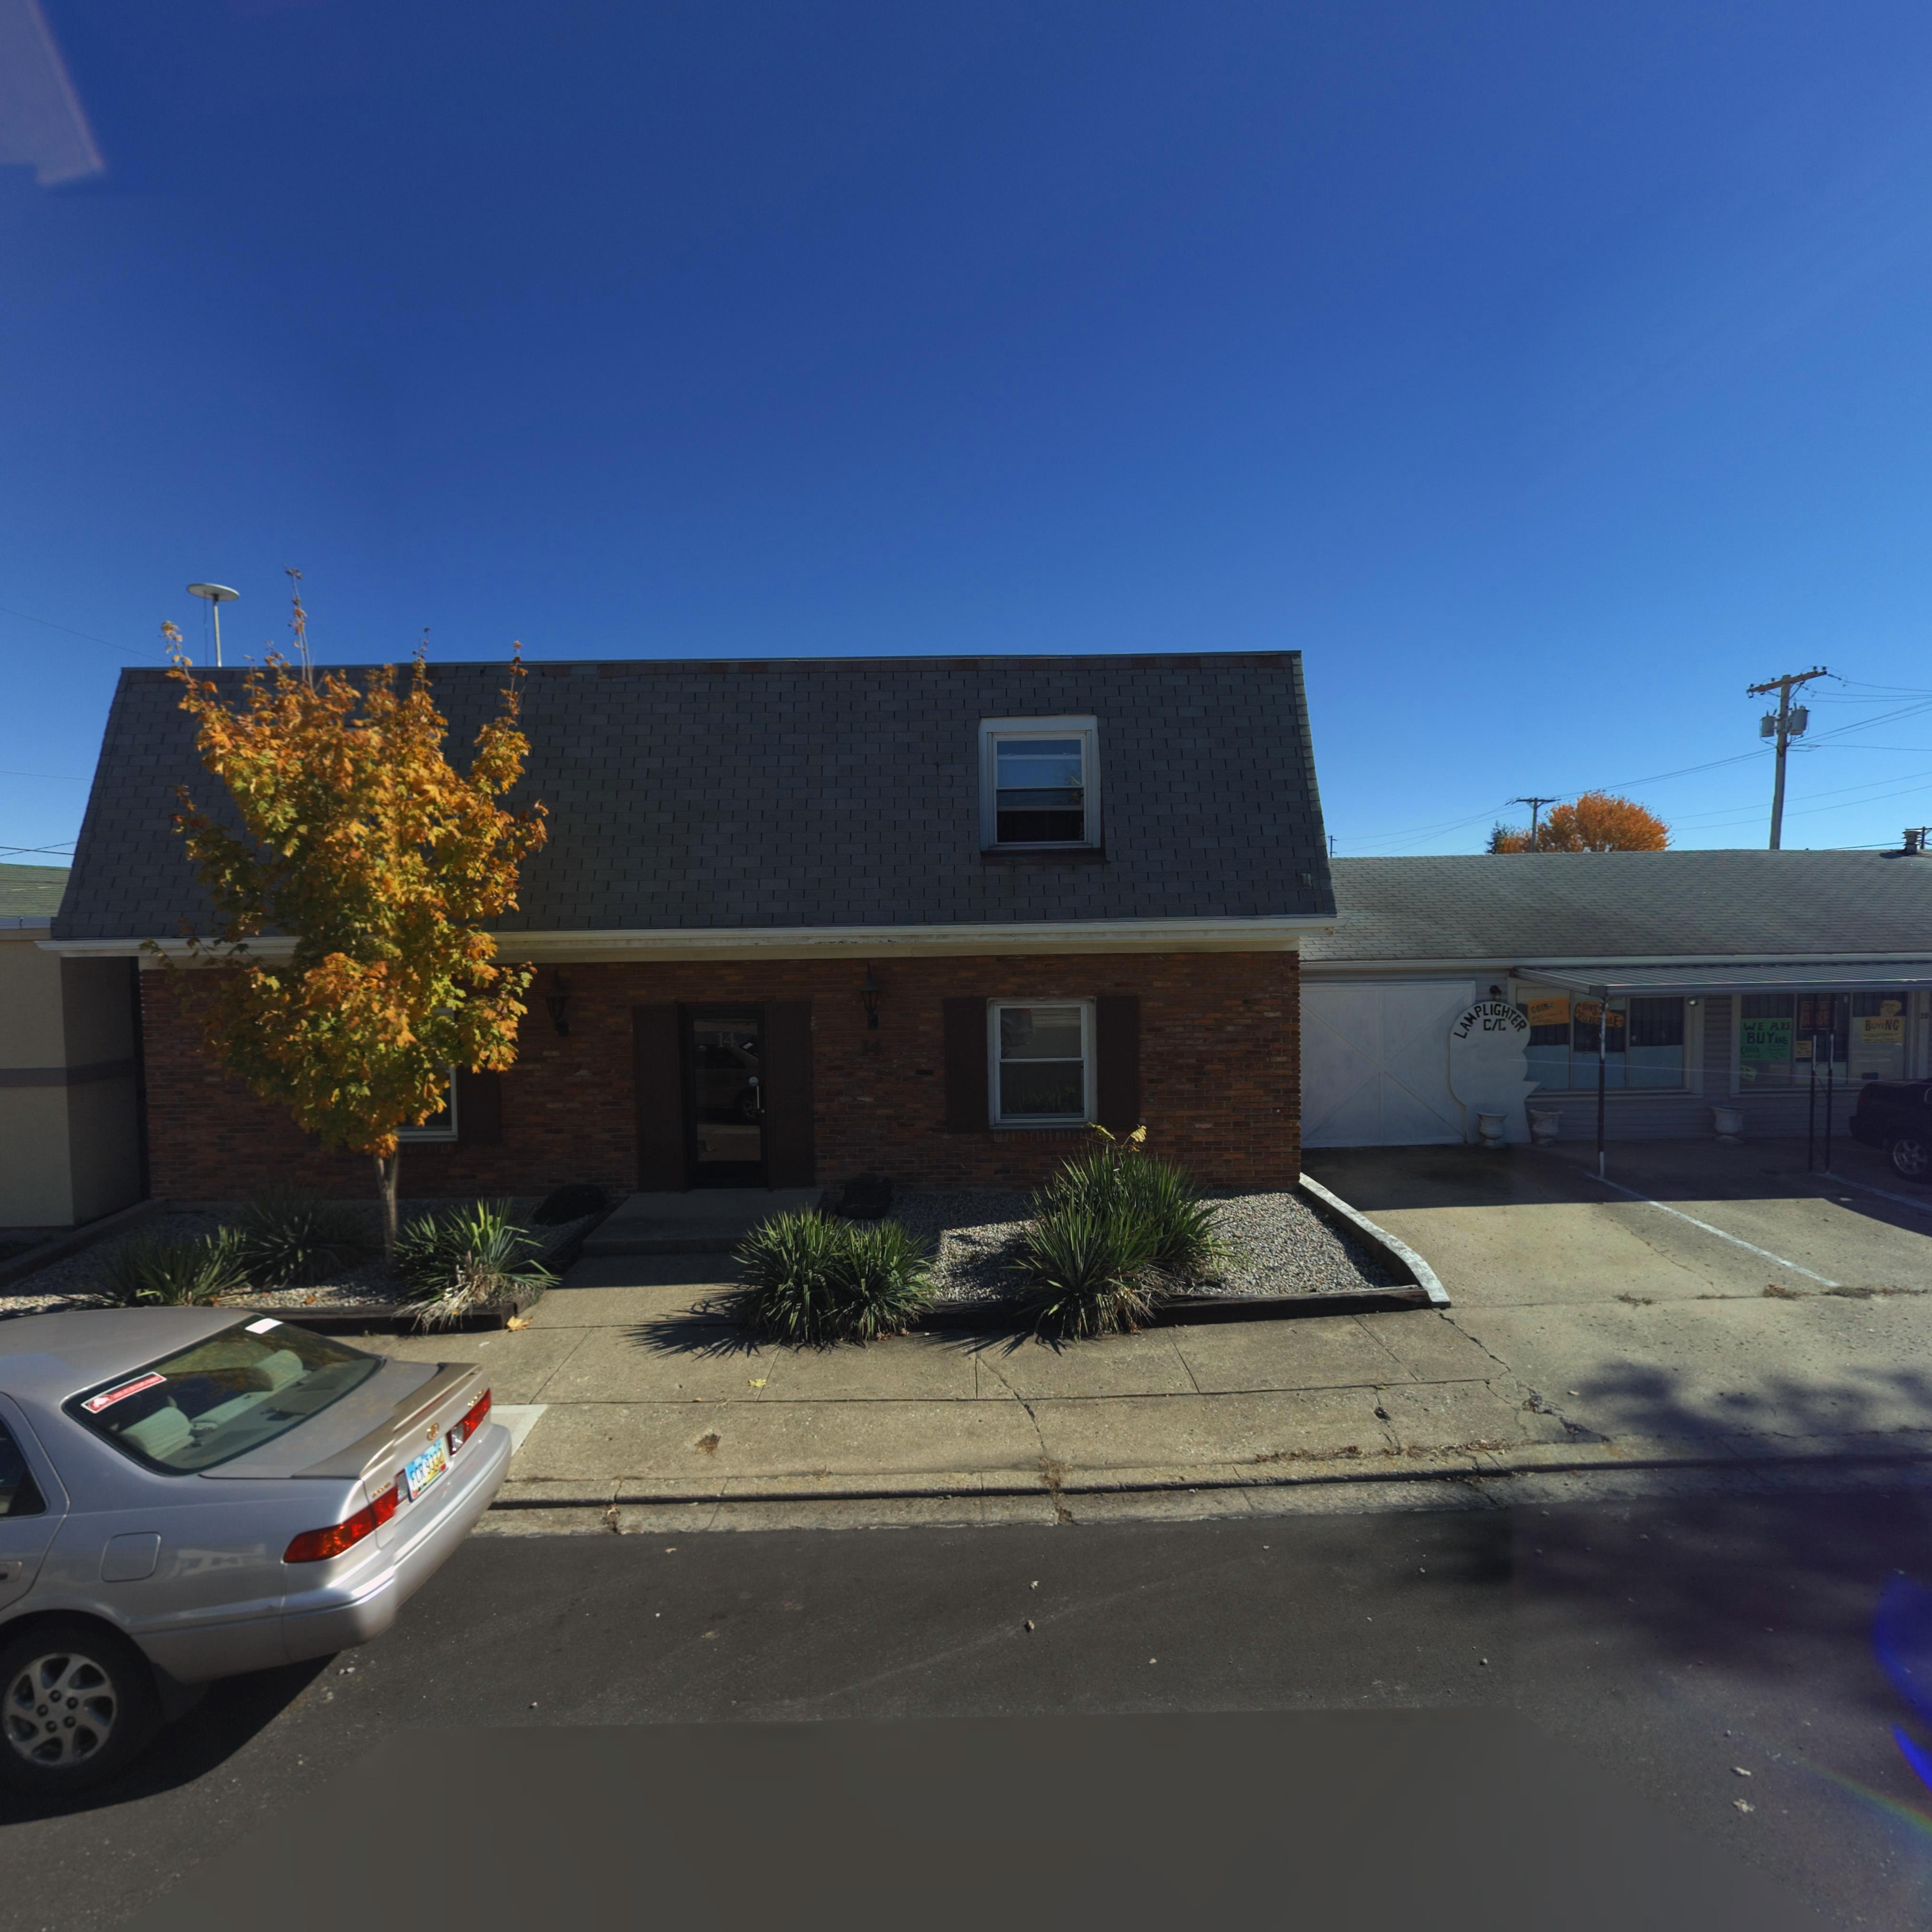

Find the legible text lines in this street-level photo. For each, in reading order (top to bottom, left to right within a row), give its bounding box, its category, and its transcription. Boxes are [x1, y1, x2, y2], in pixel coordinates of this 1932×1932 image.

[1452, 1002, 1529, 1040] None: LAMPLIGHTER
[1483, 1018, 1507, 1032] None: C/C
[1530, 1001, 1550, 1014] None: COIN
[1581, 1002, 1599, 1017] None: OINS
[1574, 1002, 1625, 1028] None: COLLECT*BLES
[1742, 1021, 1792, 1031] None: WE ARE
[1864, 1018, 1900, 1032] None: BUYiNG
[1920, 1013, 1929, 1019] StreetNumber: 20
[716, 1031, 736, 1048] StreetNumber: 14
[1747, 1031, 1789, 1045] None: BUYiNG
[860, 1039, 882, 1056] StreetNumber: 14
[1740, 1045, 1760, 1054] None: COINS
[408, 1445, 445, 1489] None: FCR*9332